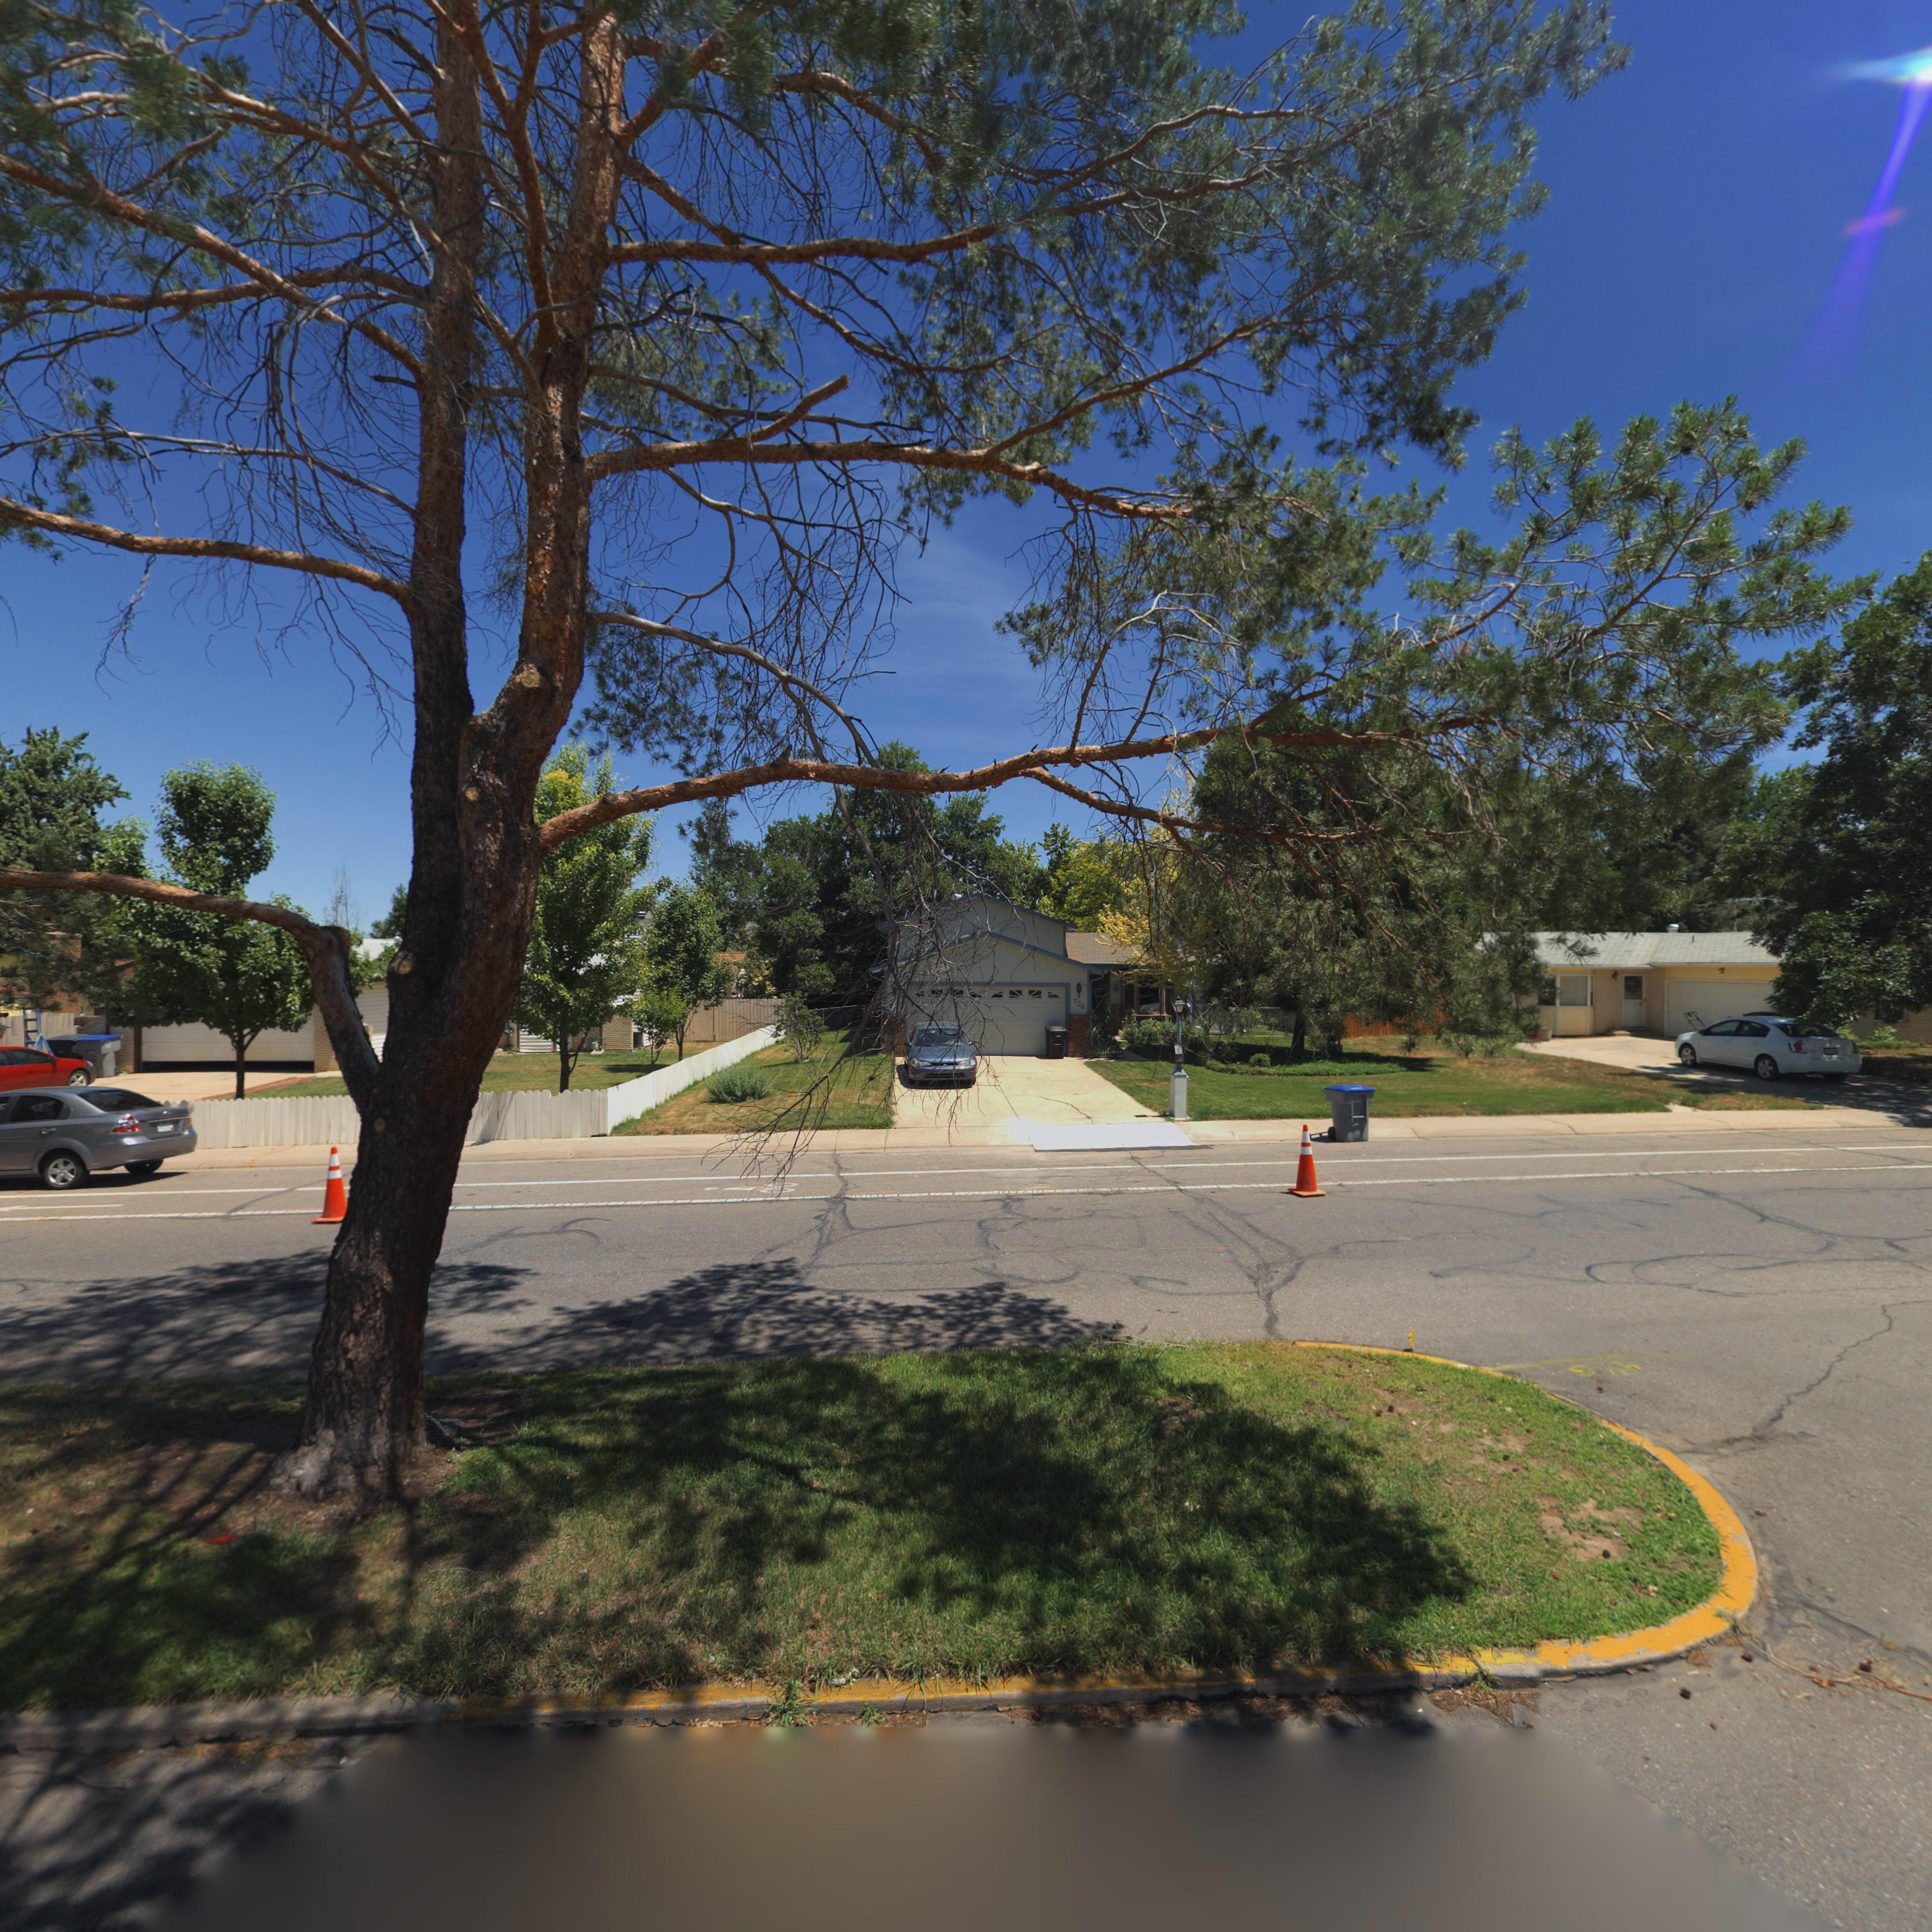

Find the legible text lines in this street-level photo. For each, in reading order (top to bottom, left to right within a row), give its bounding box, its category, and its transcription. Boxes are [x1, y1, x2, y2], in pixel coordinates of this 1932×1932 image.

[1073, 998, 1084, 1010] StreetNumber: 738